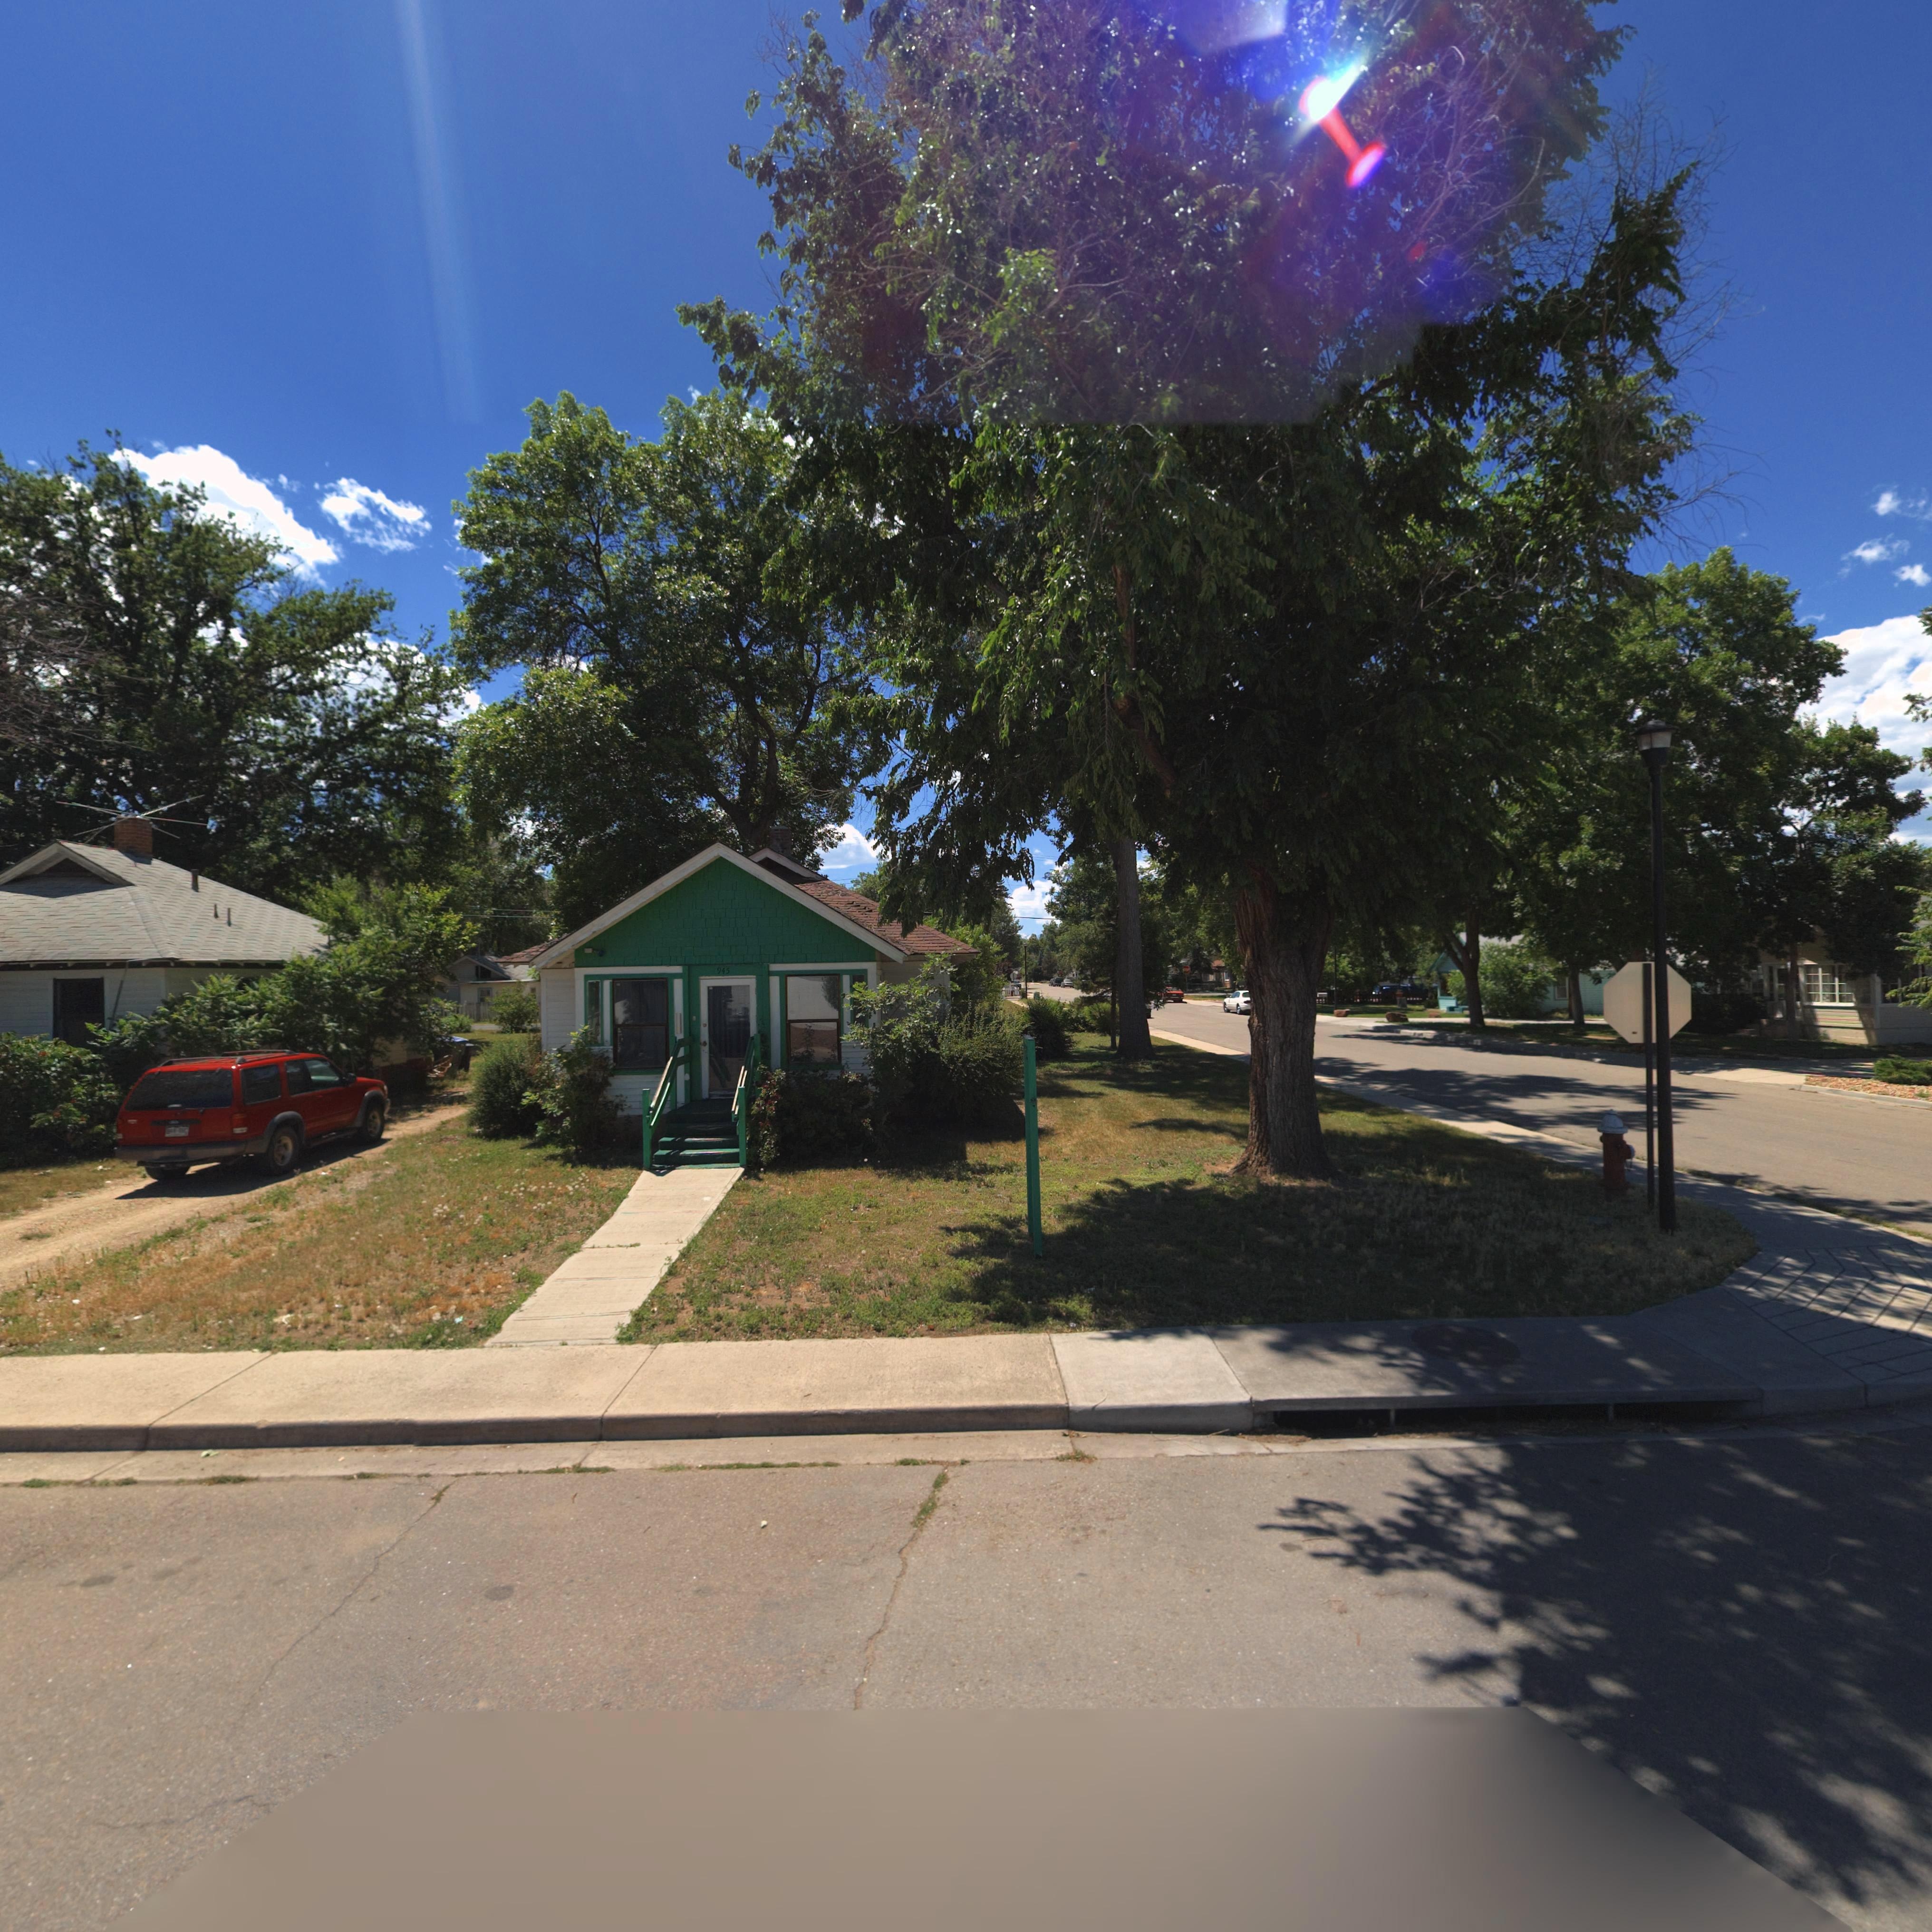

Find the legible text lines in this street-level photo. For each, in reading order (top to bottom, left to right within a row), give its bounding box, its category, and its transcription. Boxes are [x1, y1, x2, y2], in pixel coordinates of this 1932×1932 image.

[716, 966, 730, 975] StreetNumber: 945